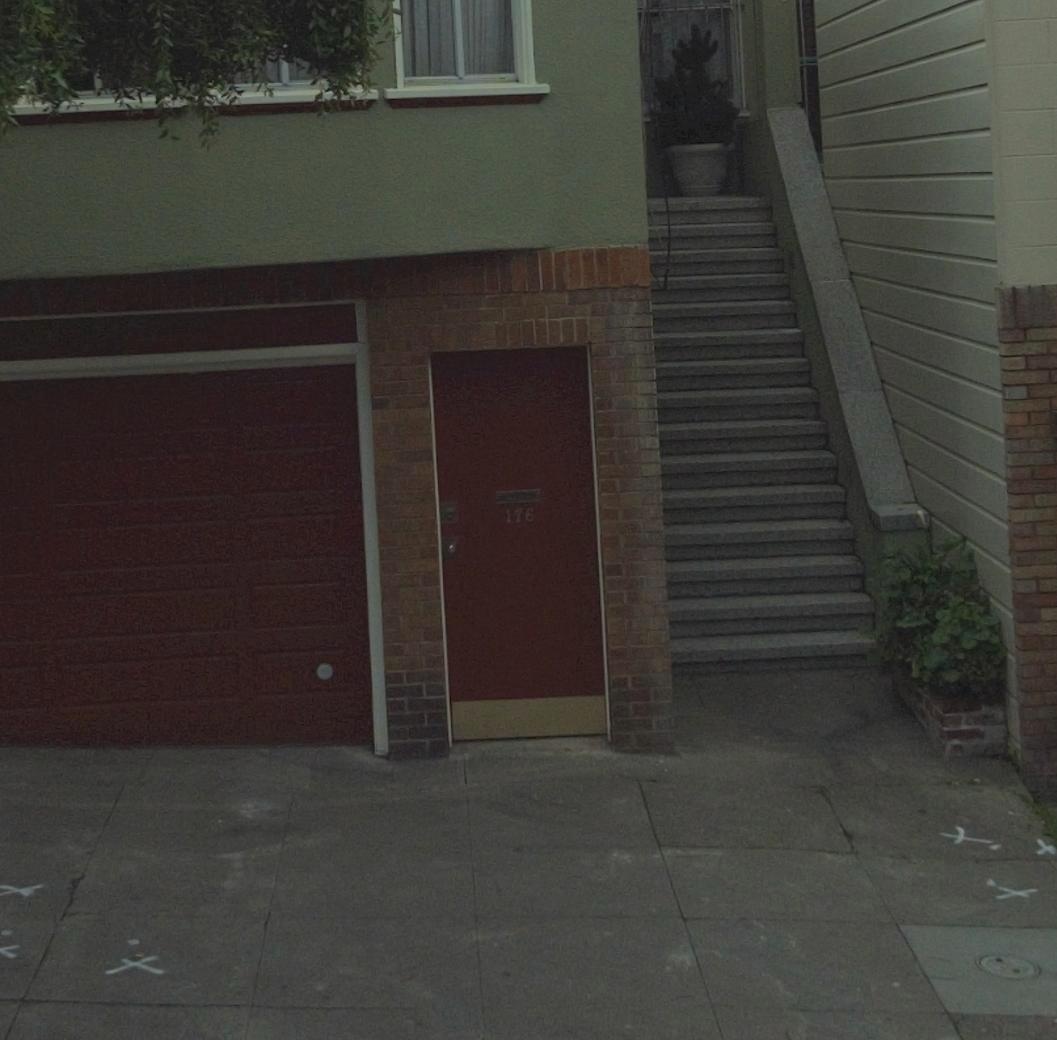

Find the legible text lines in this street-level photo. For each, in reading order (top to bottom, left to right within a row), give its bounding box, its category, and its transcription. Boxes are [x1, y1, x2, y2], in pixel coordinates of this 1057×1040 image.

[504, 506, 535, 524] StreetNumber: 176